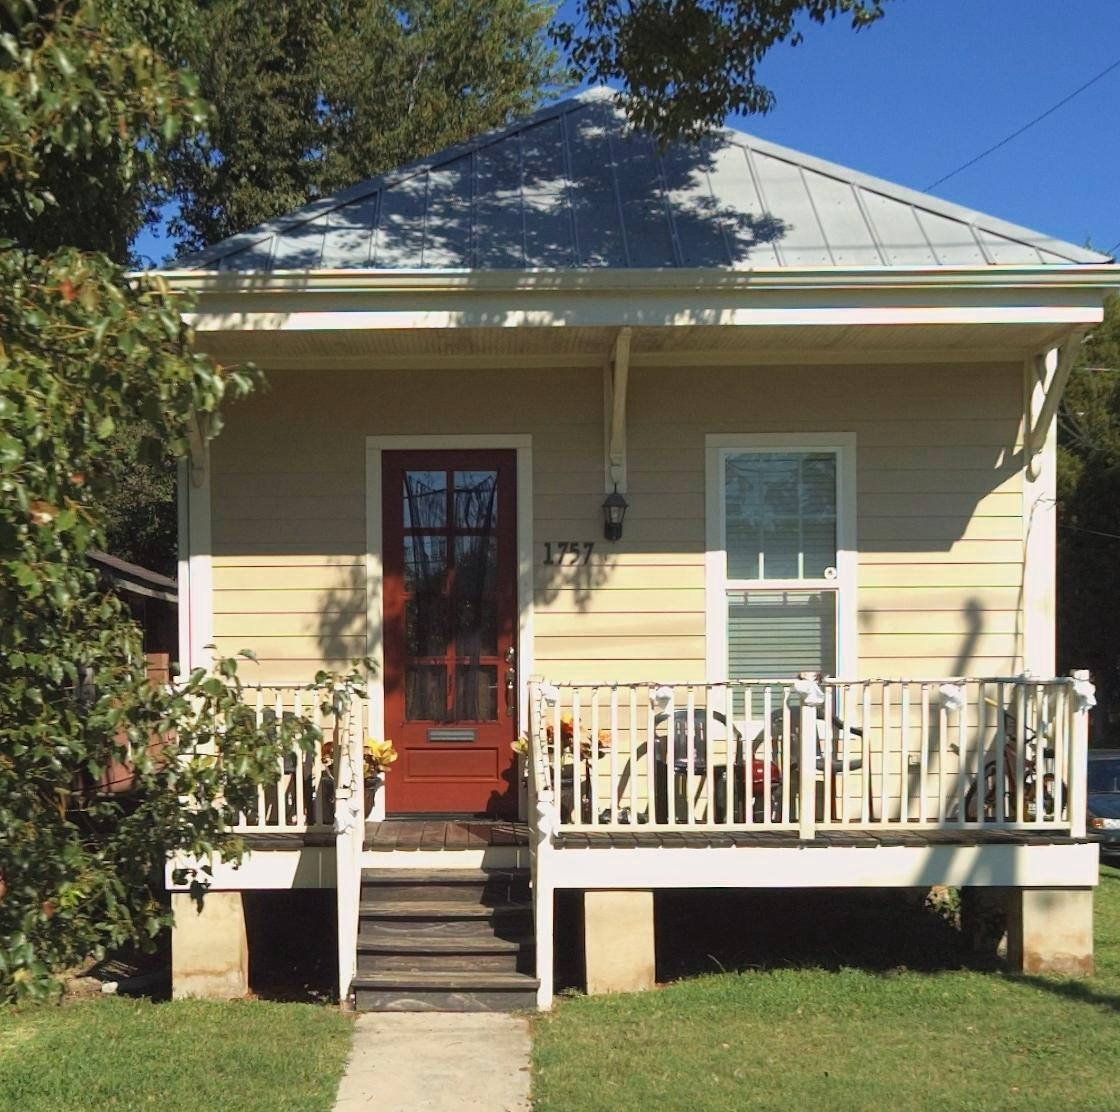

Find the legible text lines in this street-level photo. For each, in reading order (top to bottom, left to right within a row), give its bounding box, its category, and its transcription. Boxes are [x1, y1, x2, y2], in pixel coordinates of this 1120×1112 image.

[540, 538, 600, 568] StreetNumber: 1757